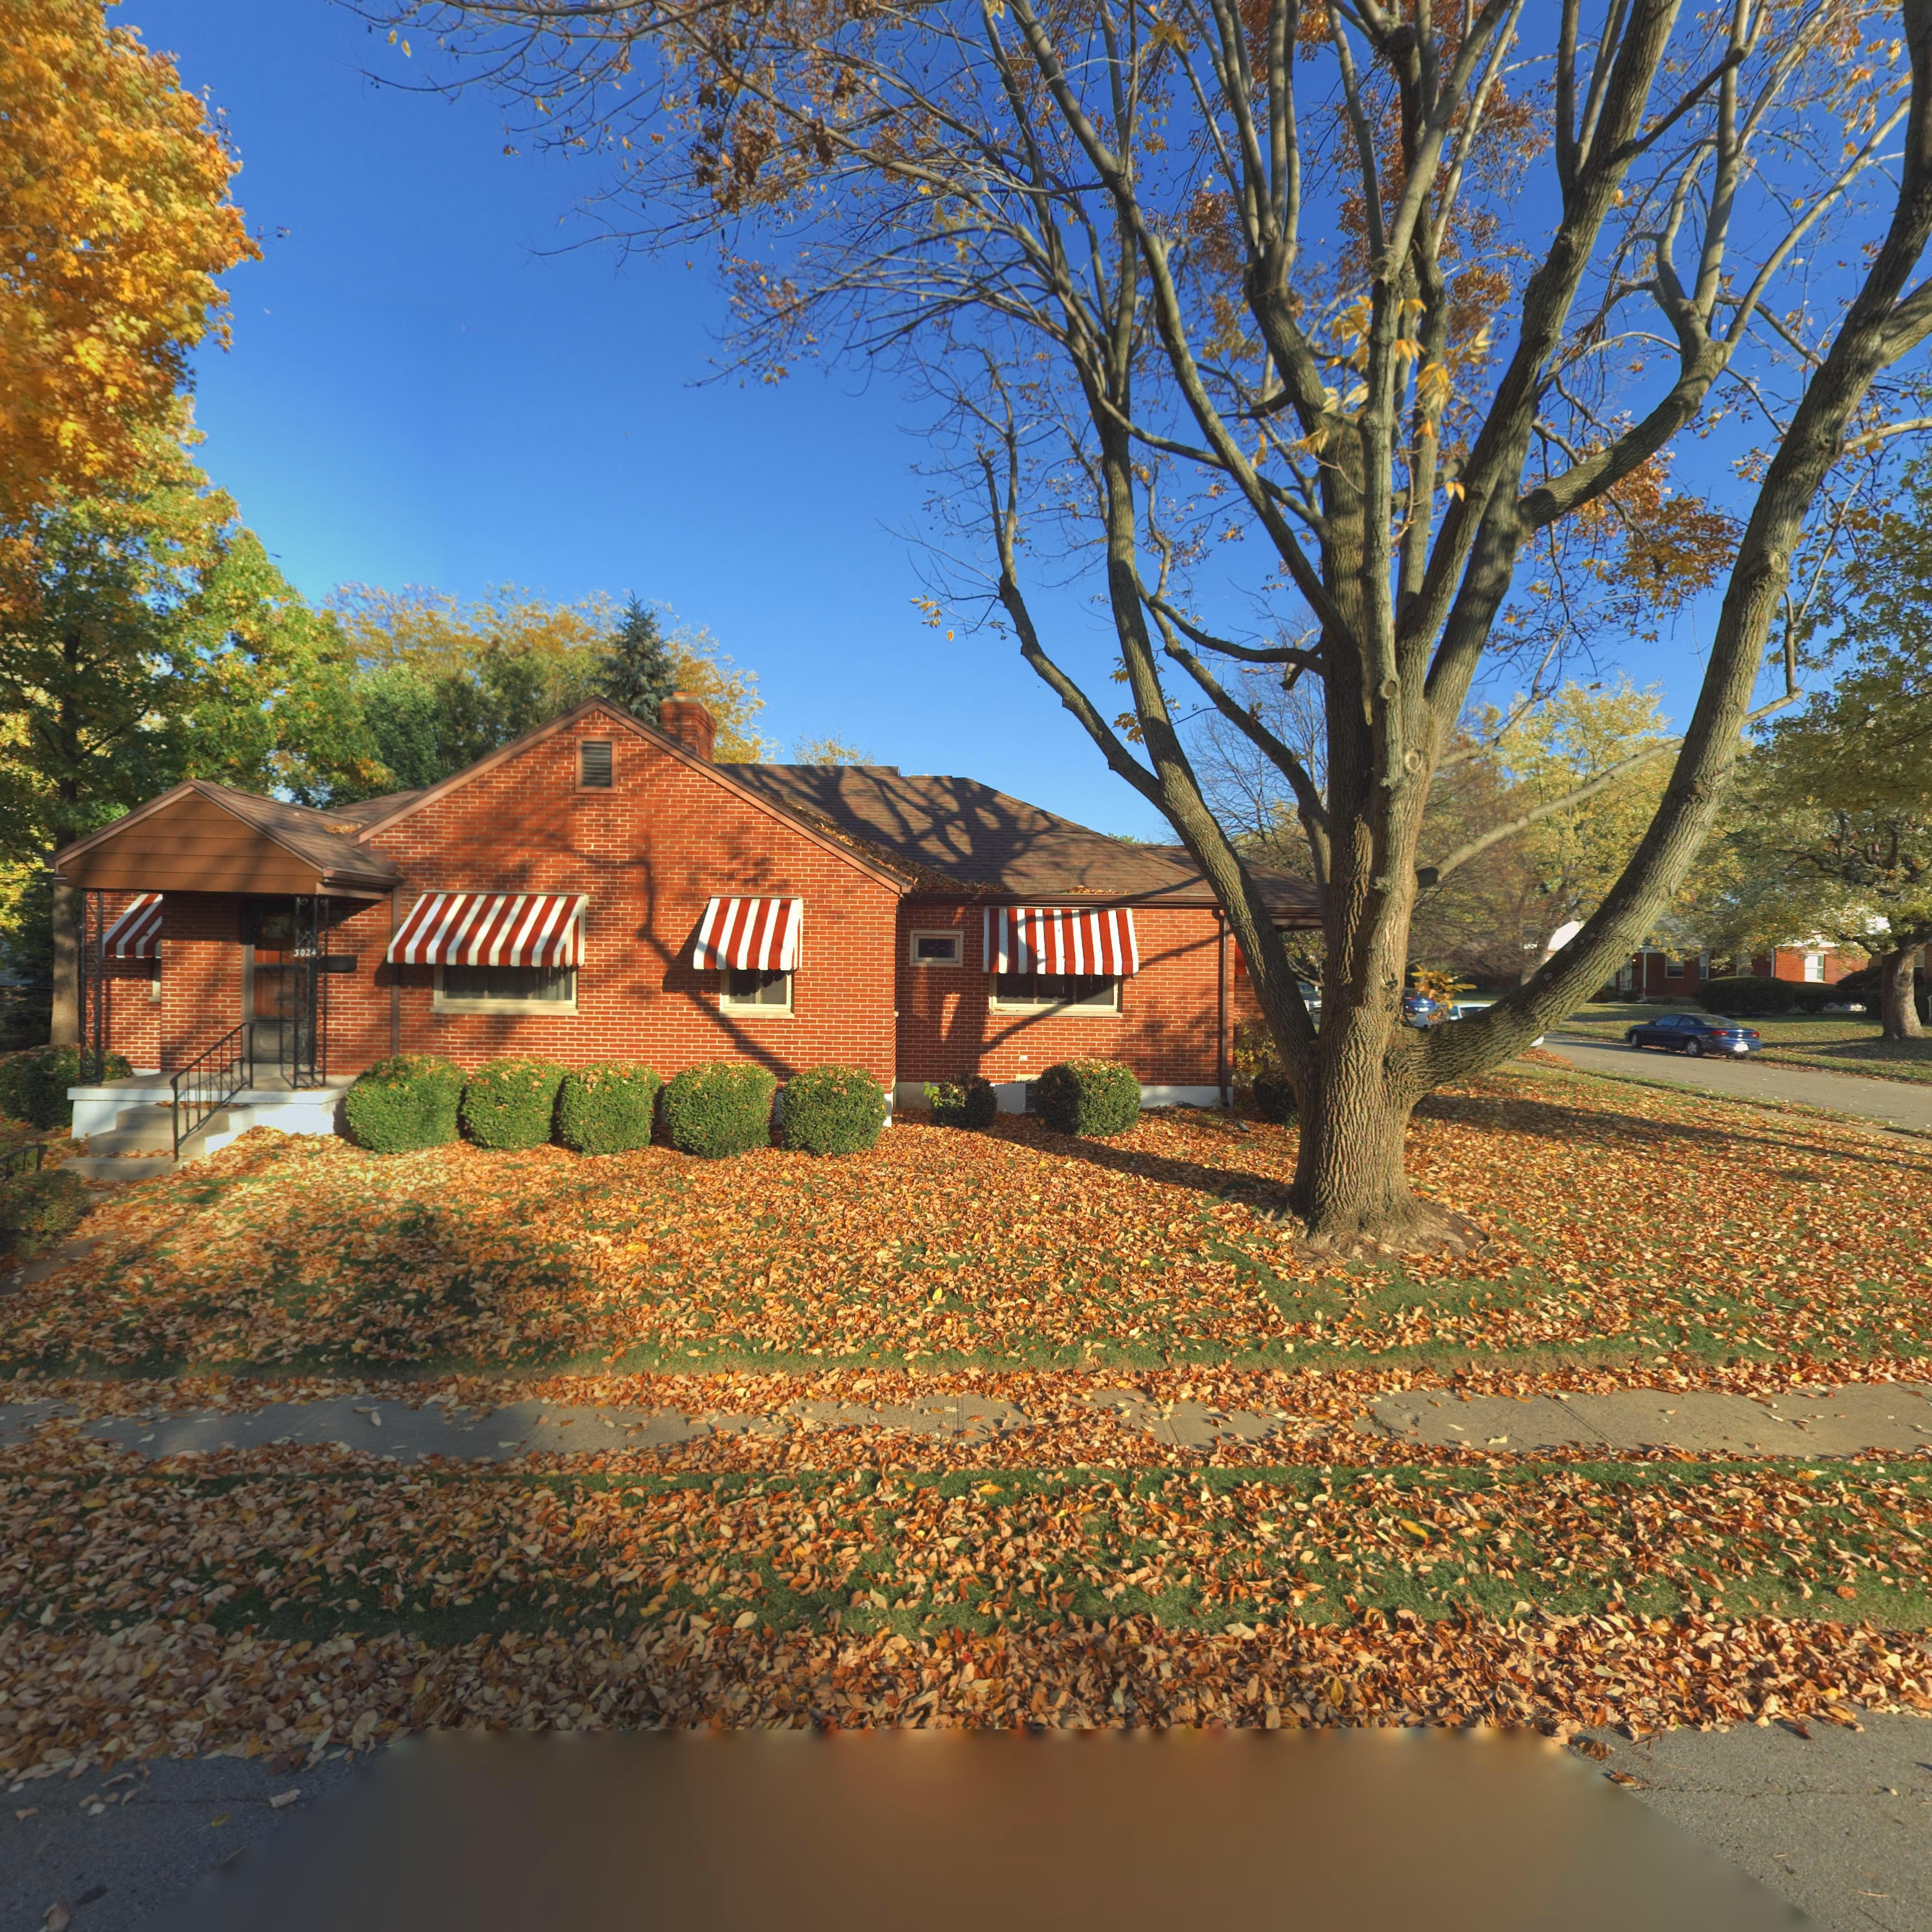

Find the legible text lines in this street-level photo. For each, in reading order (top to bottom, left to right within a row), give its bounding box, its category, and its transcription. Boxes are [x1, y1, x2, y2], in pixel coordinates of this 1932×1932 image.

[293, 948, 318, 957] StreetNumber: 3024